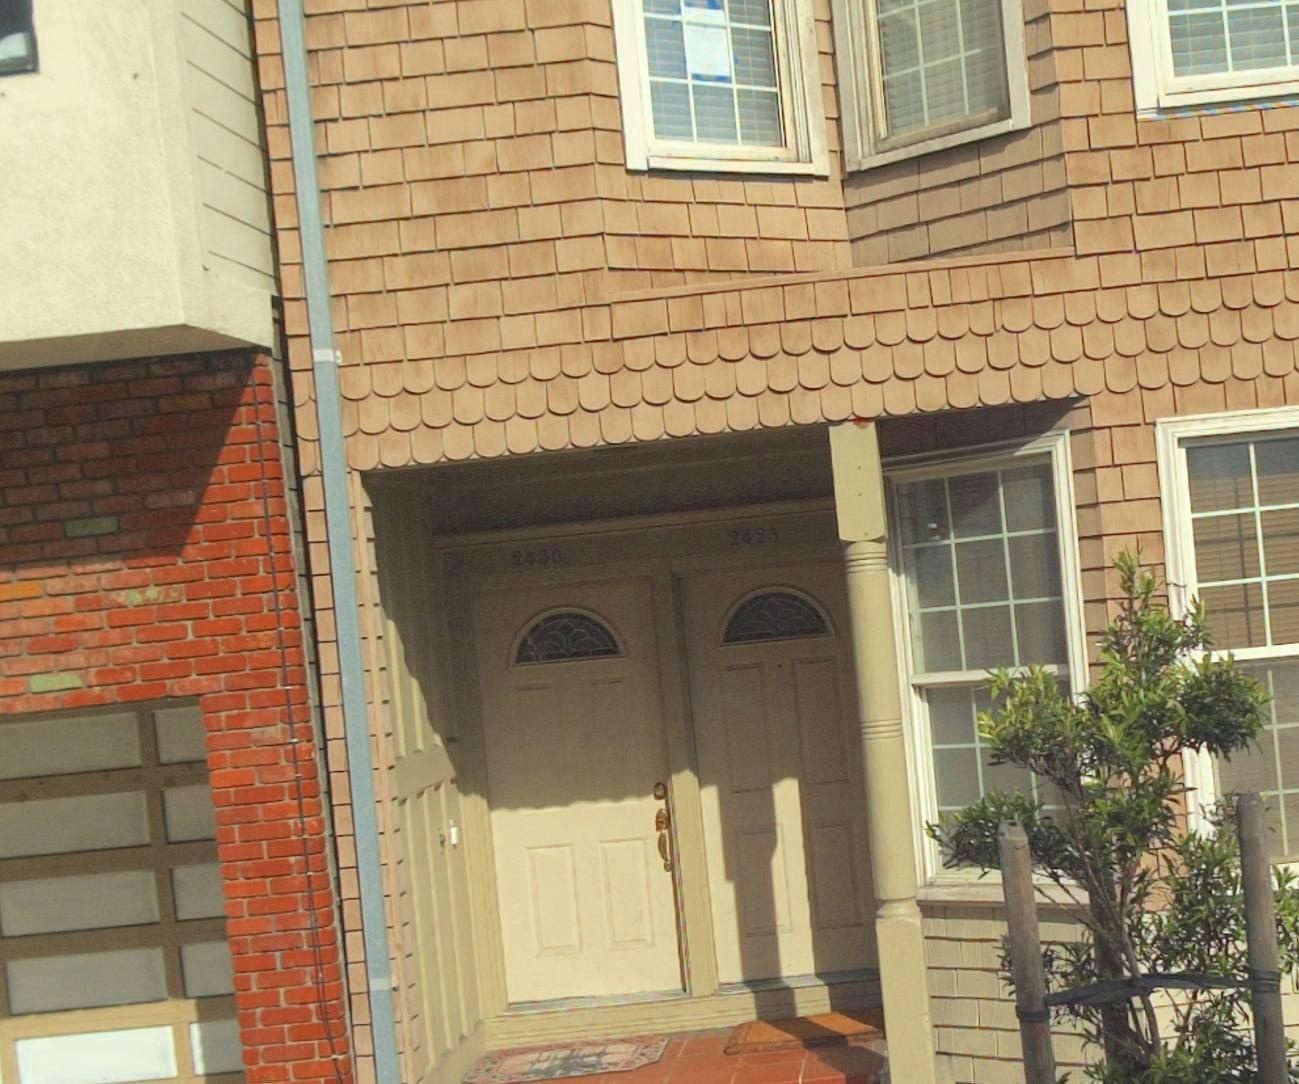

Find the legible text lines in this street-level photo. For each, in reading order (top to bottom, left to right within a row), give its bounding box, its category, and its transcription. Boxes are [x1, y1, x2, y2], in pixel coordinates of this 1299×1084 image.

[725, 524, 781, 547] StreetNumber: 2428
[509, 546, 564, 569] StreetNumber: 2430